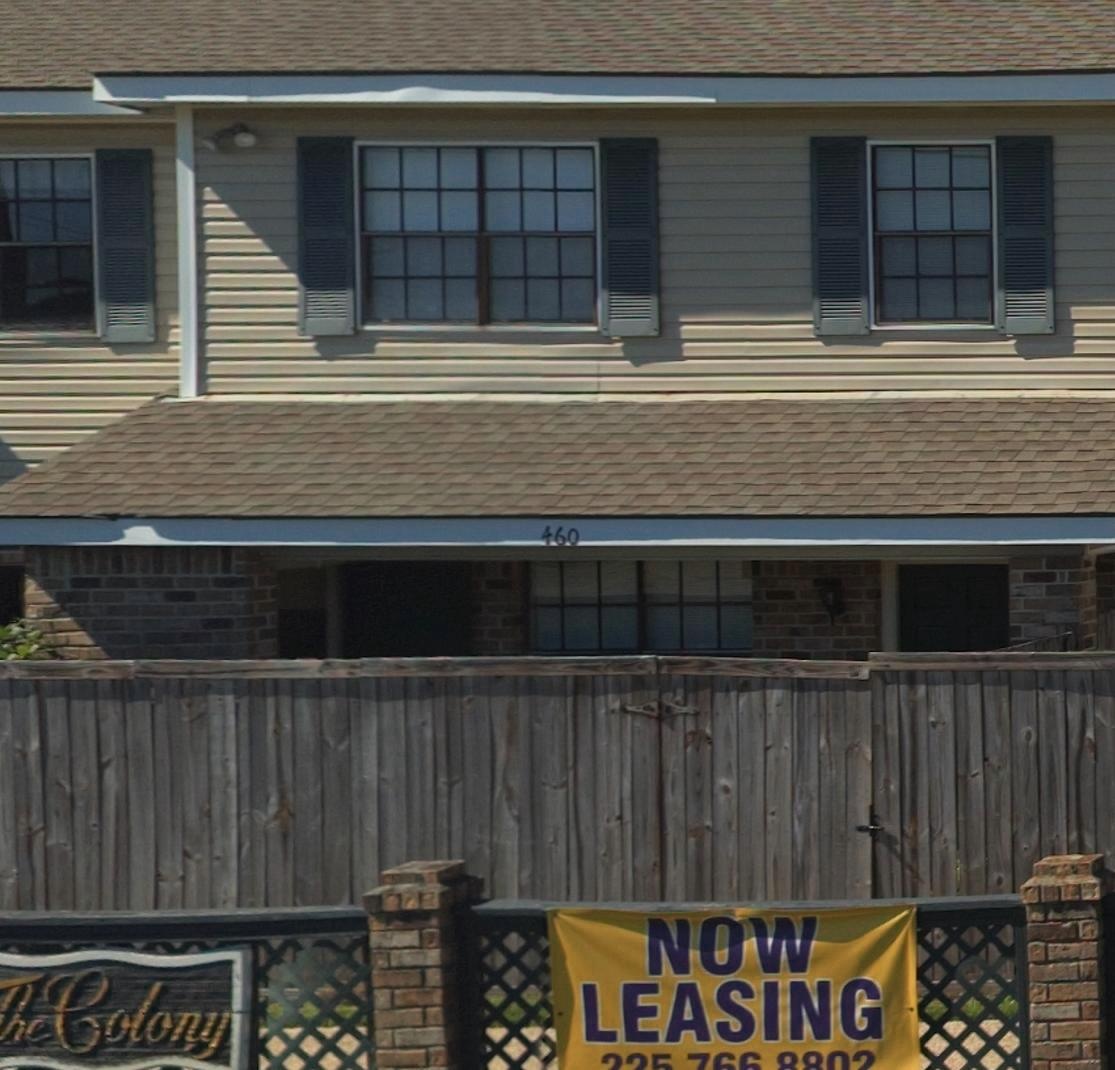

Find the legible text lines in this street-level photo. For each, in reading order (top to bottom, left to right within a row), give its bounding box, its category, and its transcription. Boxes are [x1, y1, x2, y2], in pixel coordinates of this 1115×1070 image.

[536, 522, 583, 549] StreetNumber: 460
[643, 909, 824, 981] None: NOW
[1, 961, 236, 1063] BusinessName: he Colony
[579, 974, 887, 1045] None: LEASING